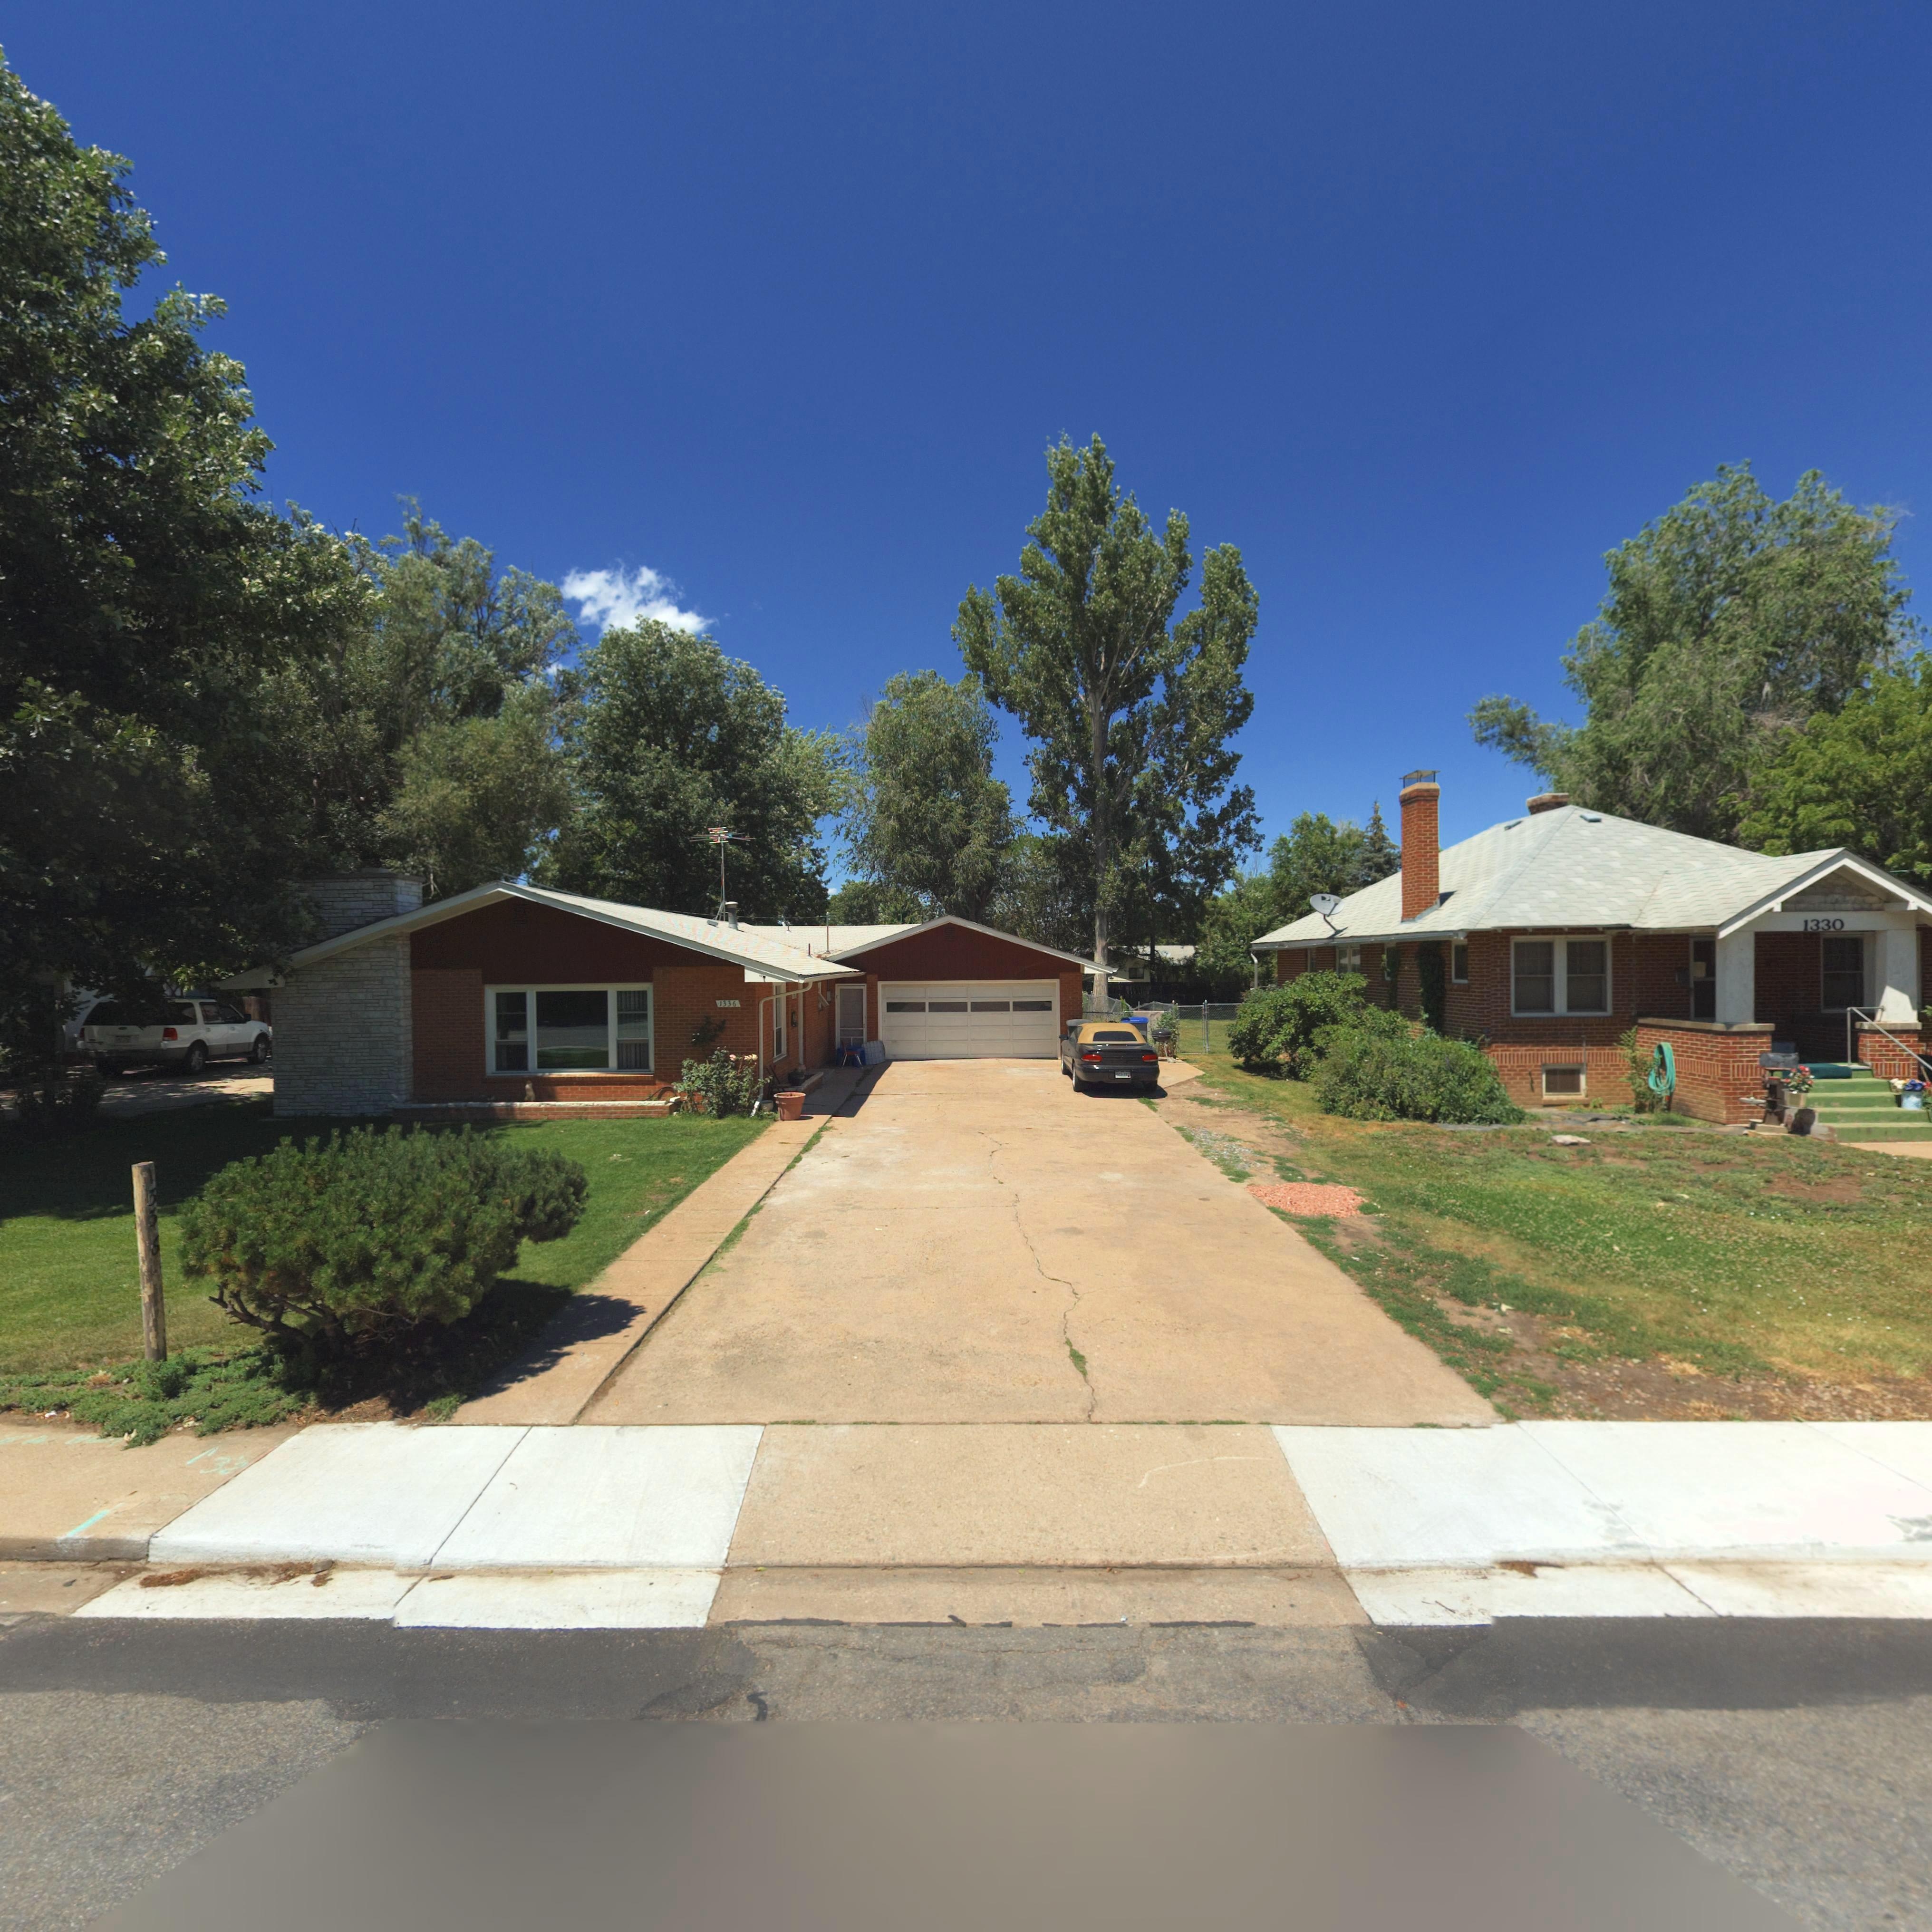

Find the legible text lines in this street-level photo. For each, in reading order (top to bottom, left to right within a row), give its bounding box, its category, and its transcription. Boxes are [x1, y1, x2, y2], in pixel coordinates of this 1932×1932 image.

[1803, 918, 1844, 931] StreetNumber: 1330
[720, 1000, 736, 1007] StreetNumber: 1336
[145, 1166, 160, 1257] StreetNumber: 1336